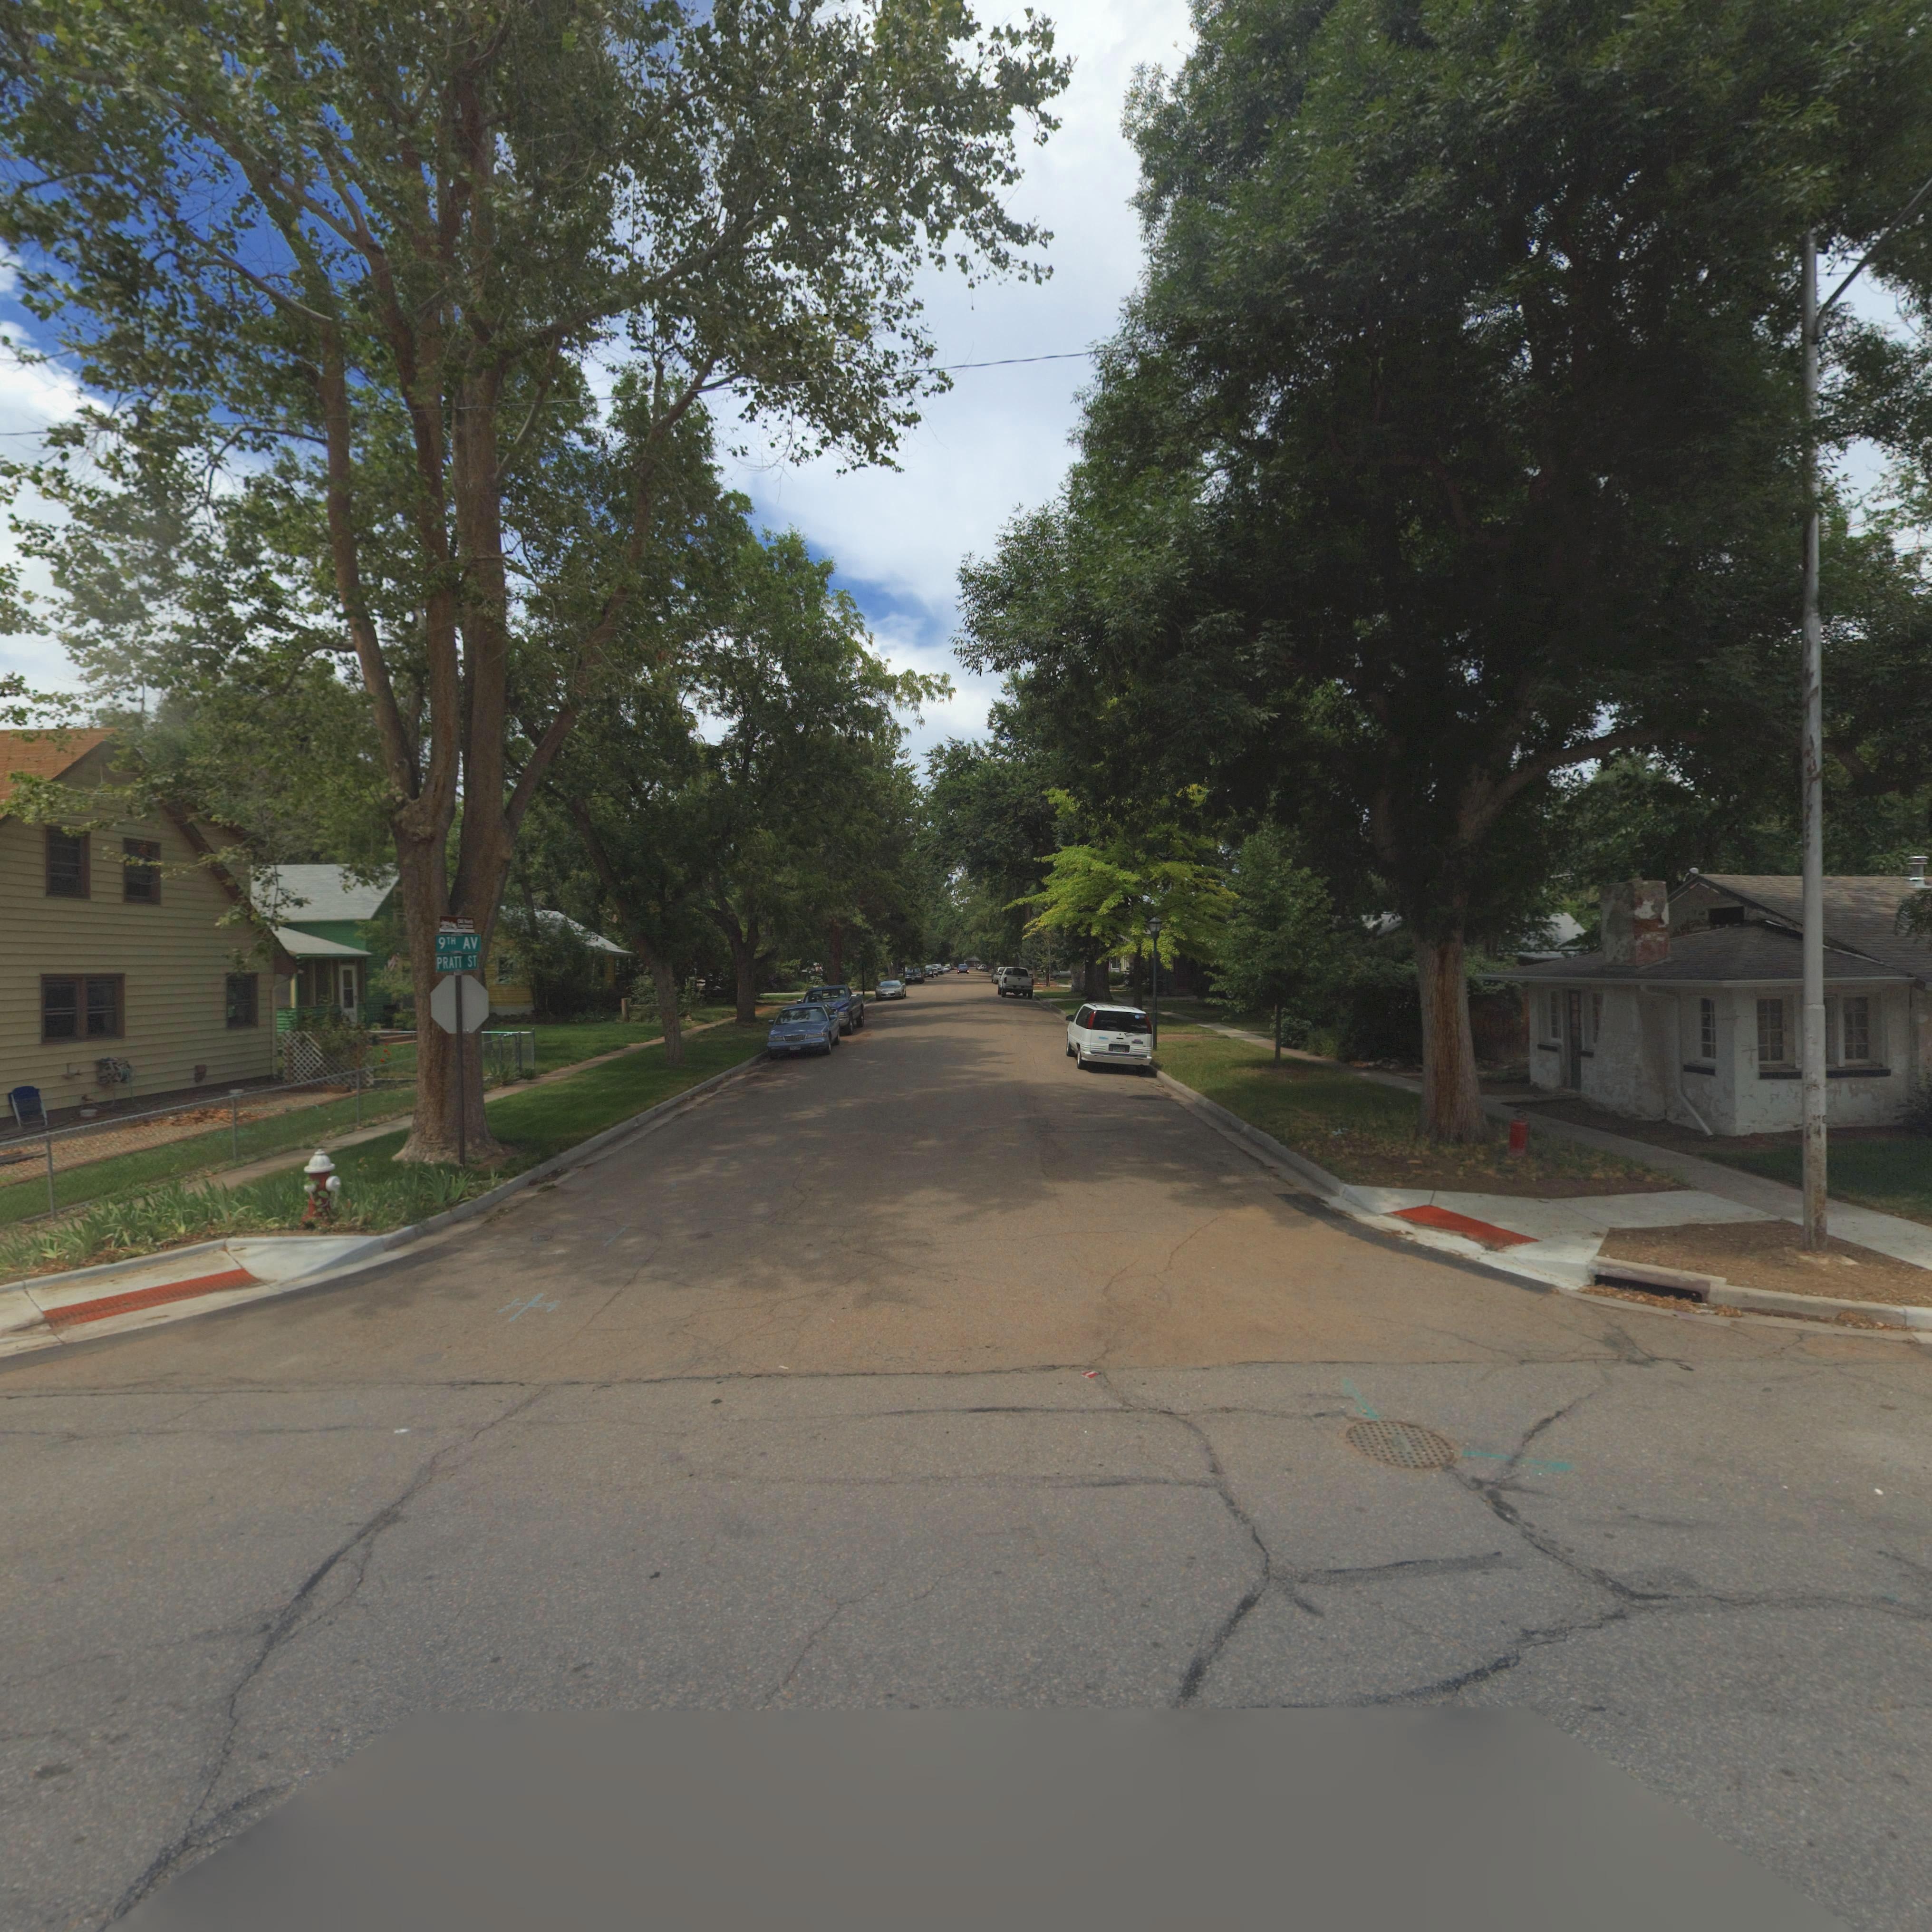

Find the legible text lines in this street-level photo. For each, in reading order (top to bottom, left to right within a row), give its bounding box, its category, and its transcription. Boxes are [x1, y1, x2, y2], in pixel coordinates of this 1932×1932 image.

[438, 936, 478, 949] StreetName: 9TH AV
[436, 955, 477, 969] StreetName: PRATT ST